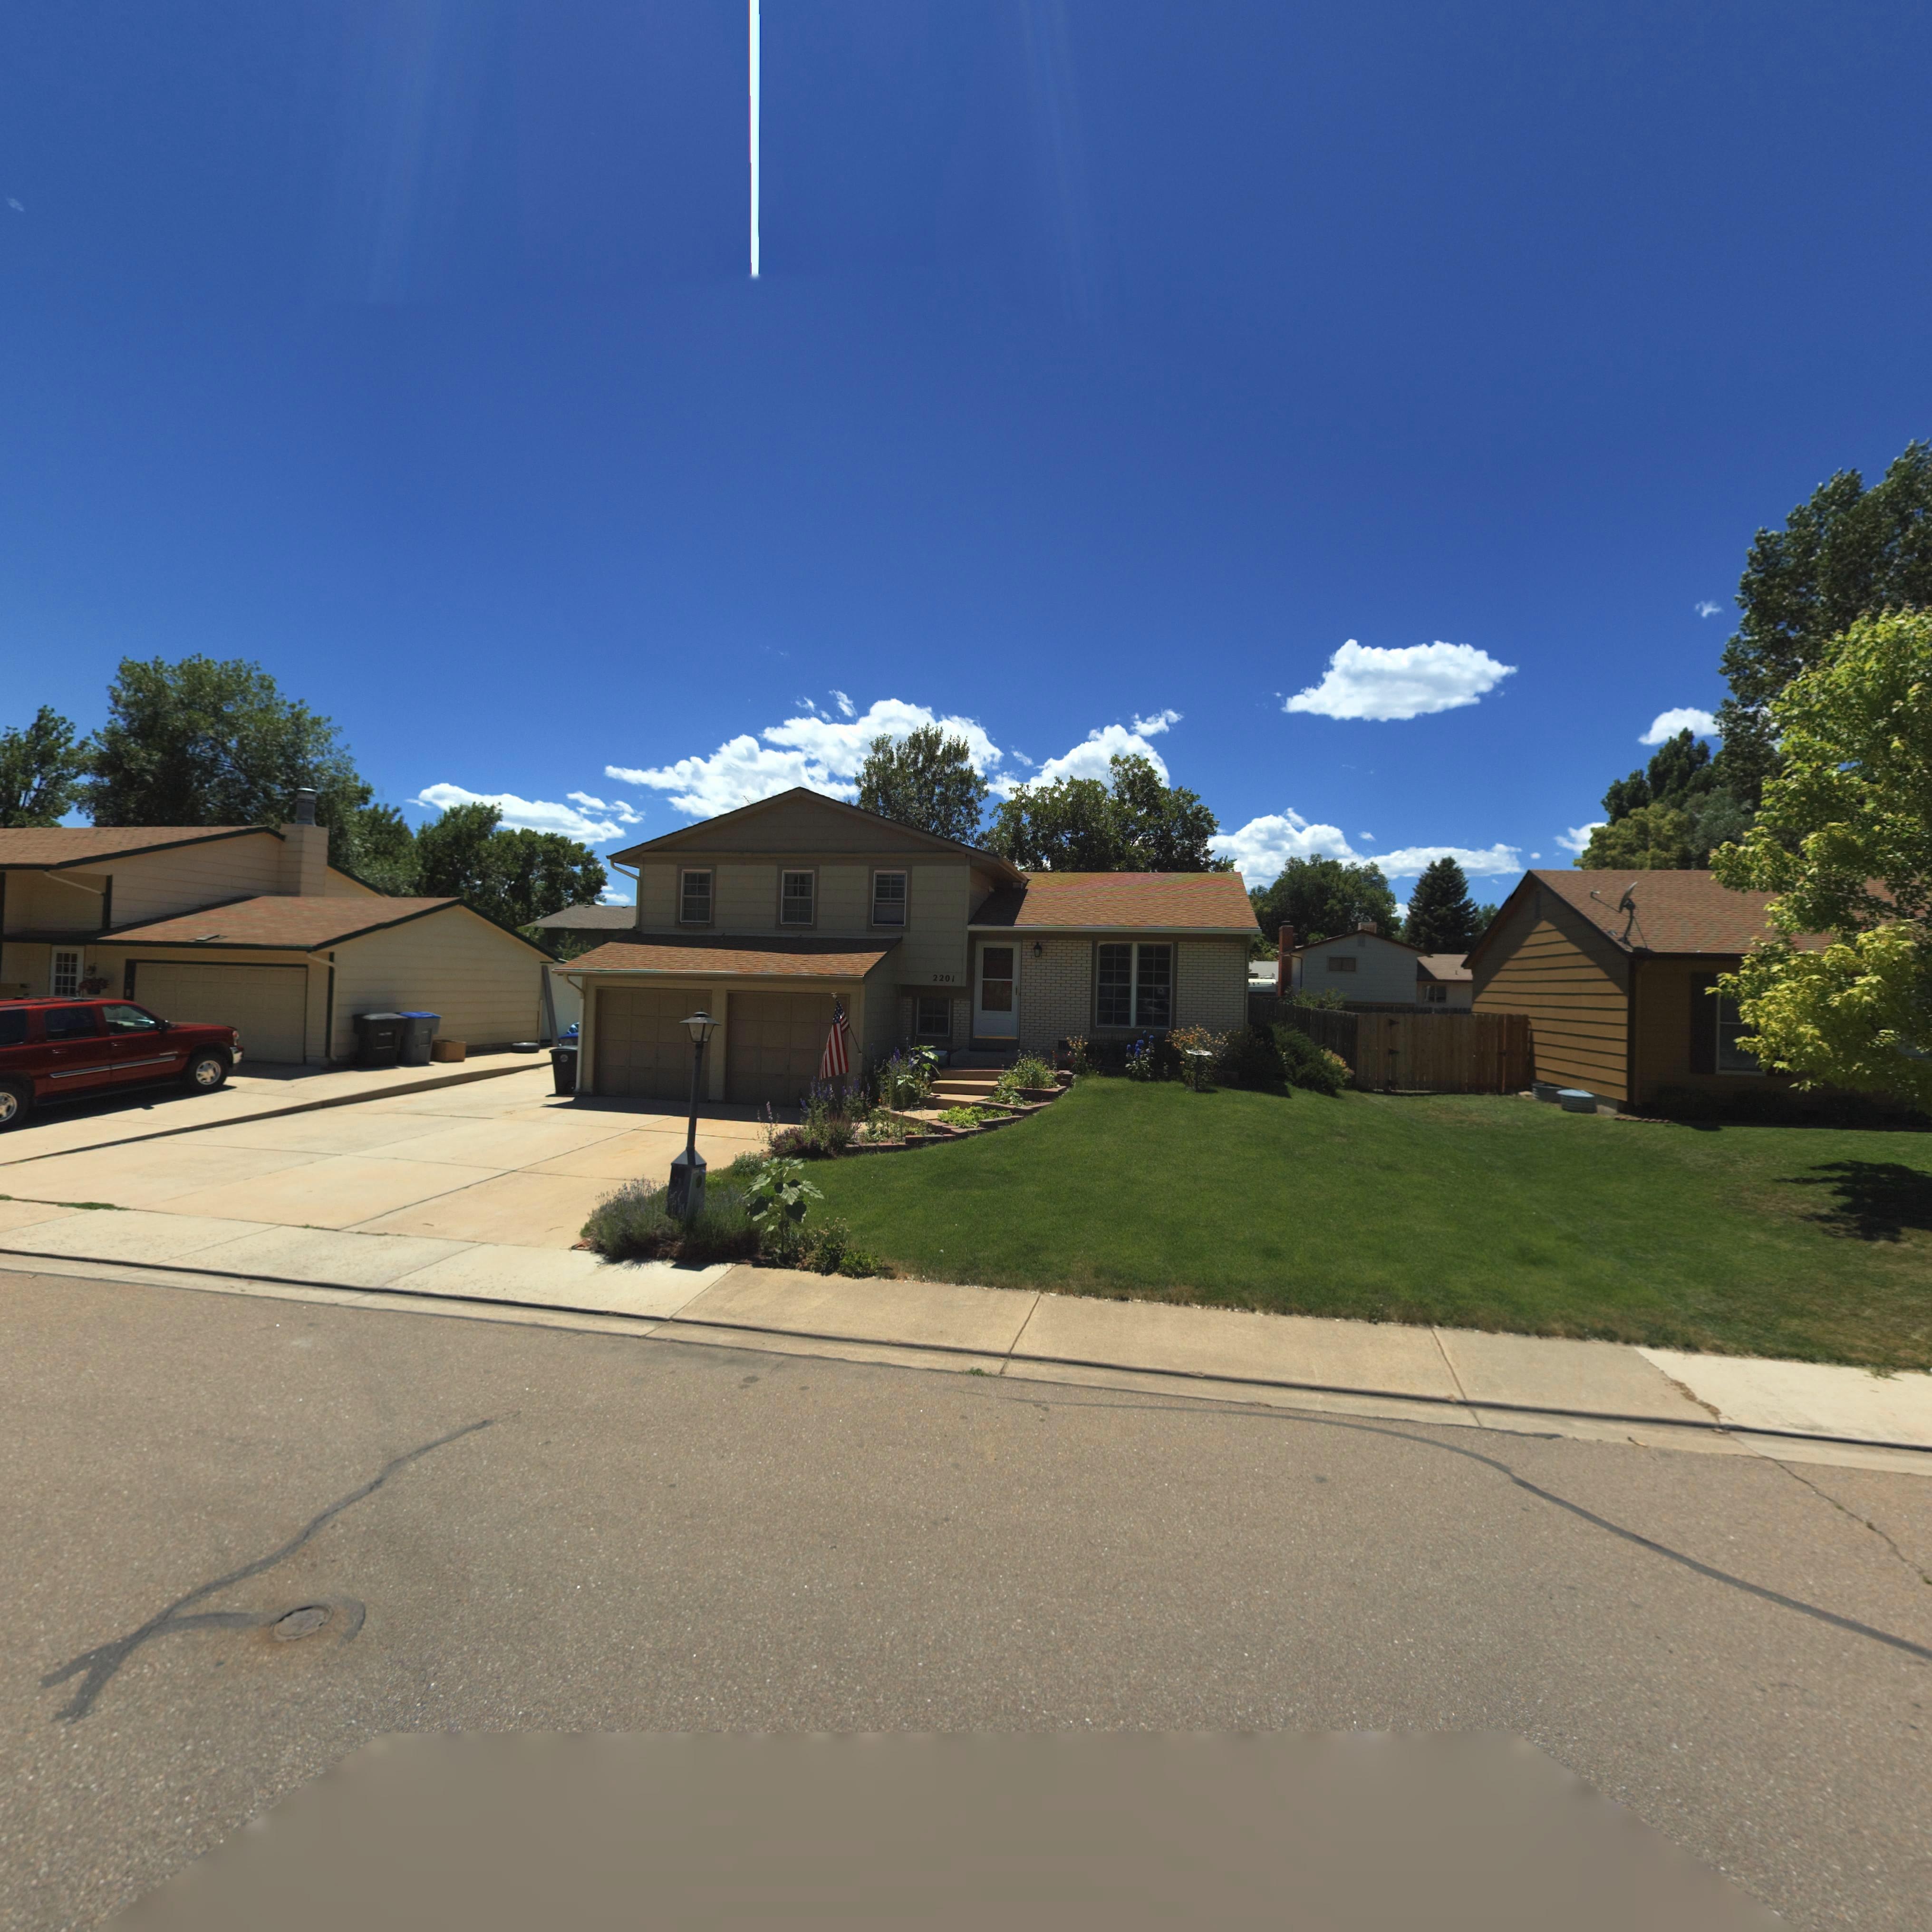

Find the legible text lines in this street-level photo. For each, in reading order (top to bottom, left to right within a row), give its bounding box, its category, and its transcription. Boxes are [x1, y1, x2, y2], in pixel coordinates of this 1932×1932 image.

[932, 974, 955, 983] StreetNumber: 2201